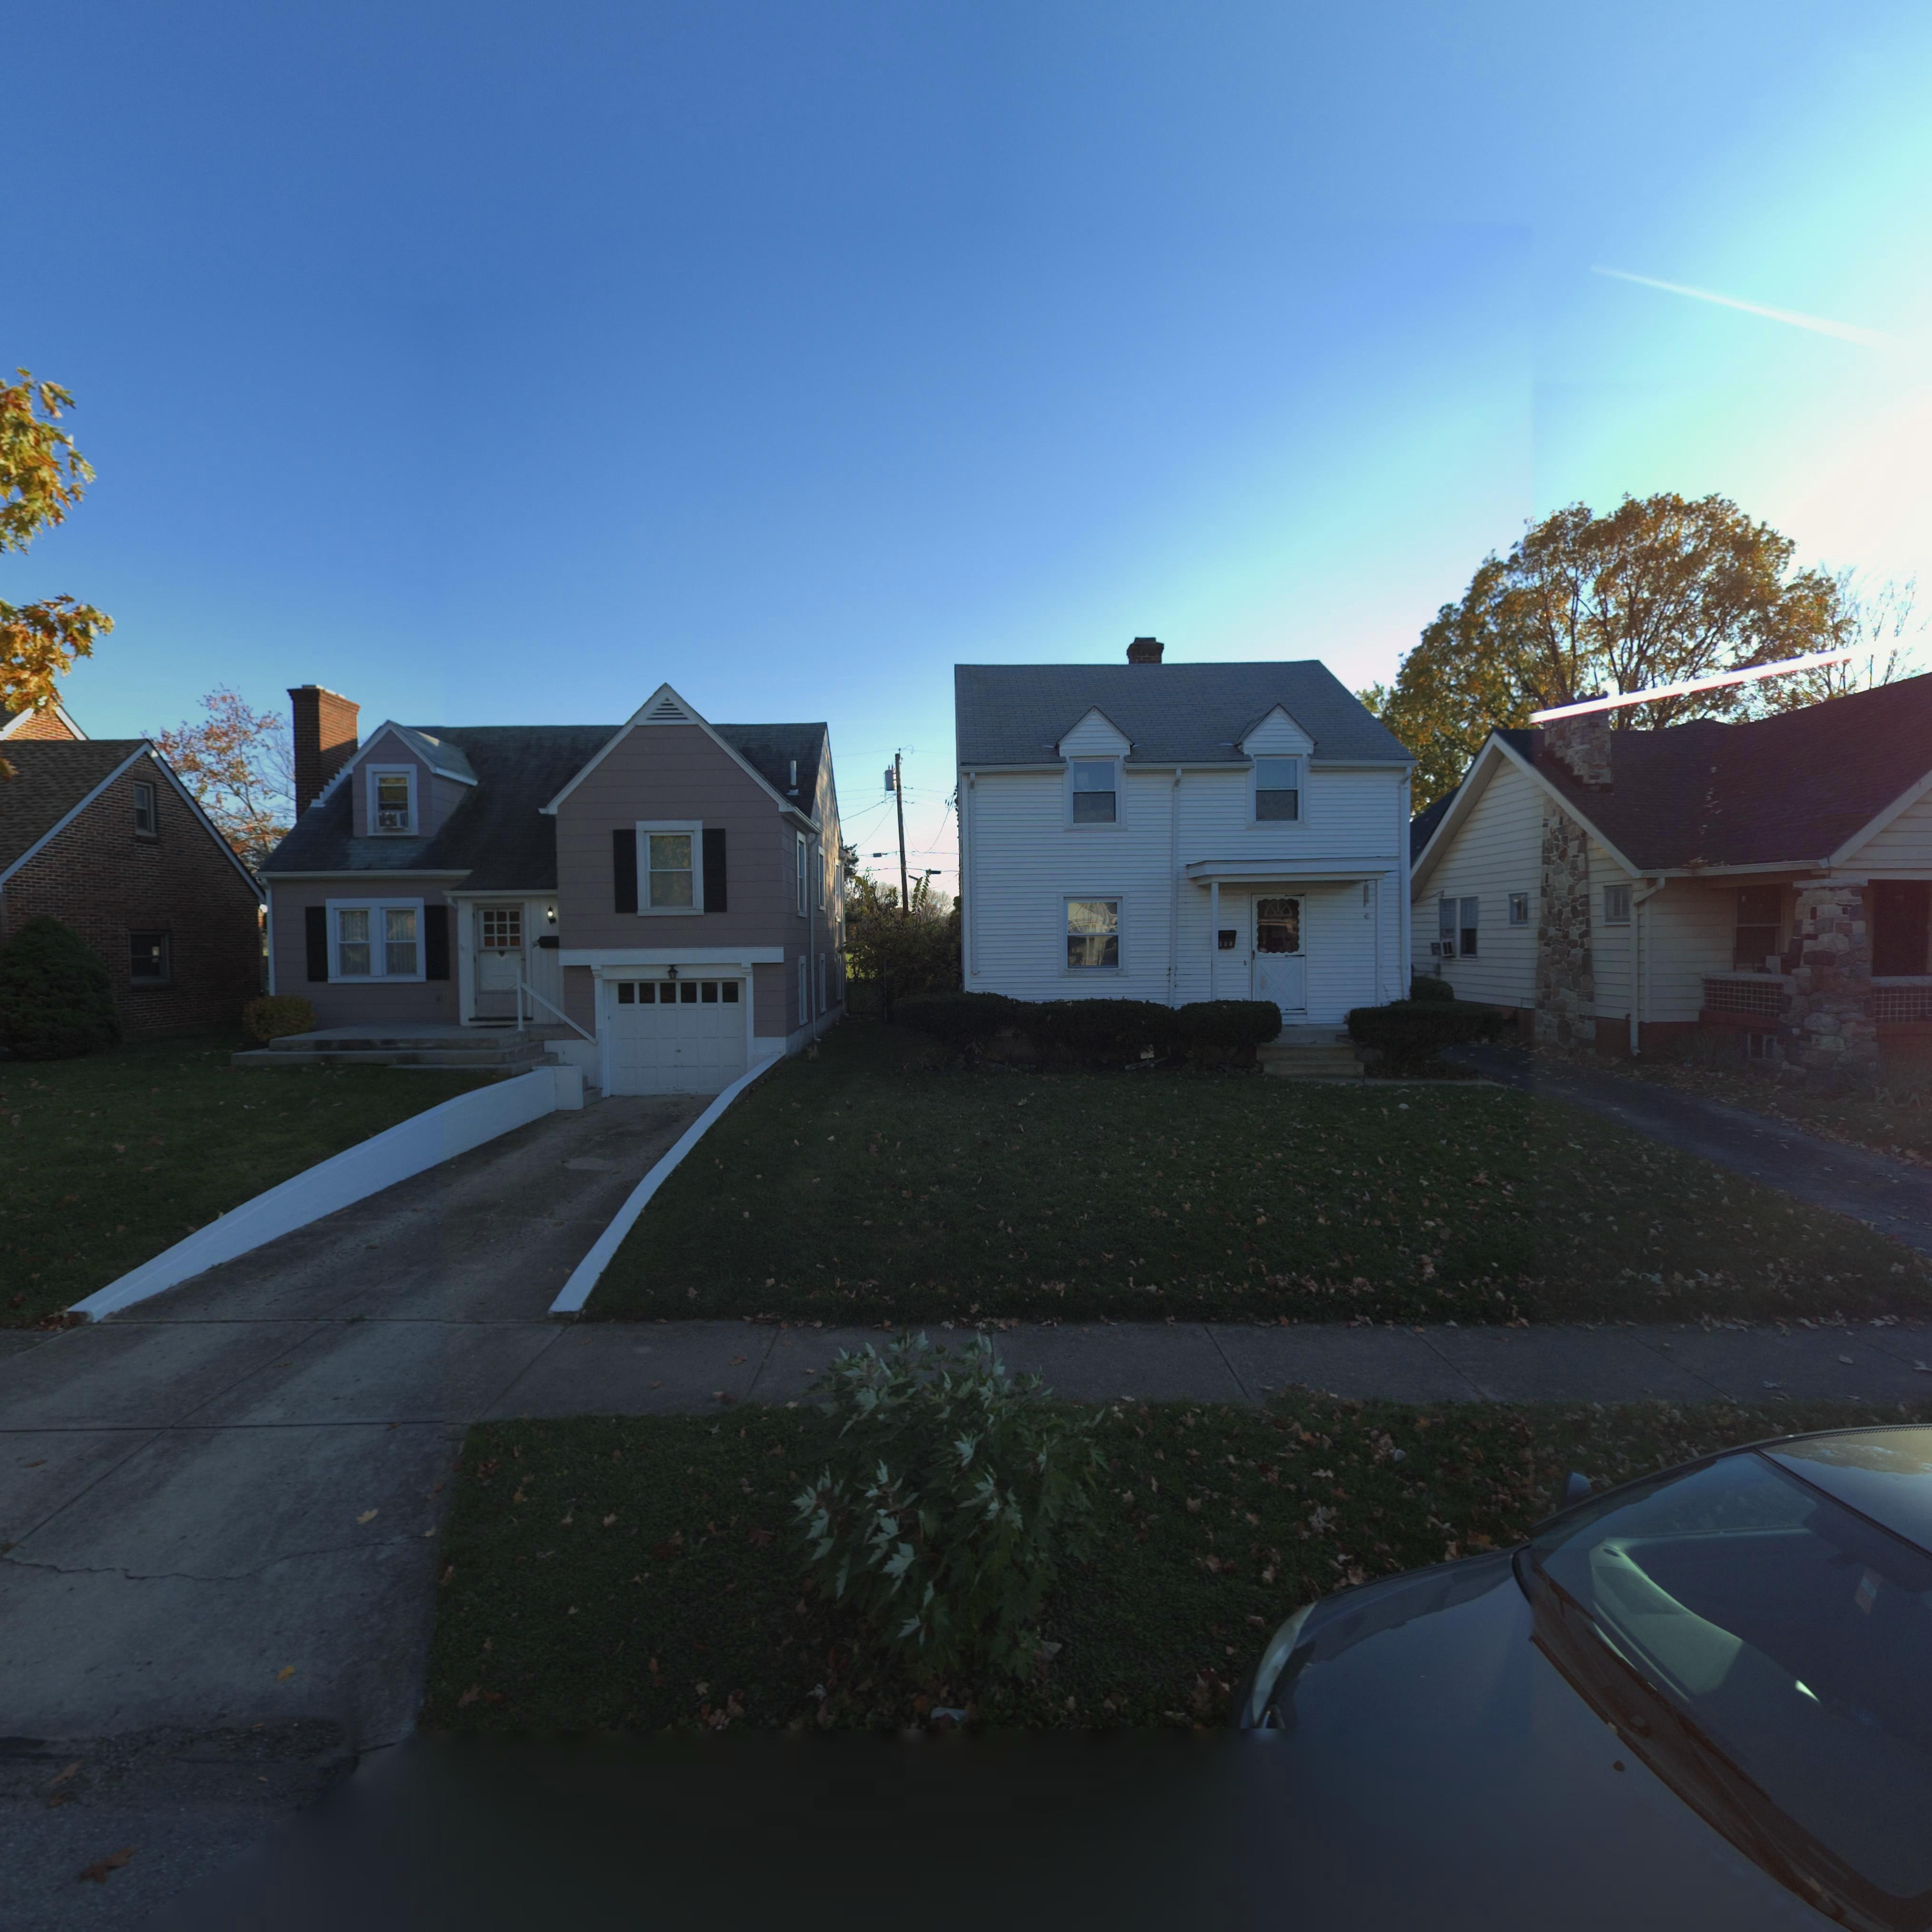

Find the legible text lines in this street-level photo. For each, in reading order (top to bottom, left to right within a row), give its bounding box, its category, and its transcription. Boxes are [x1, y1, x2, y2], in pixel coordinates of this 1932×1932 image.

[530, 939, 540, 950] StreetNumber: 312
[1218, 941, 1233, 947] StreetNumber: 308